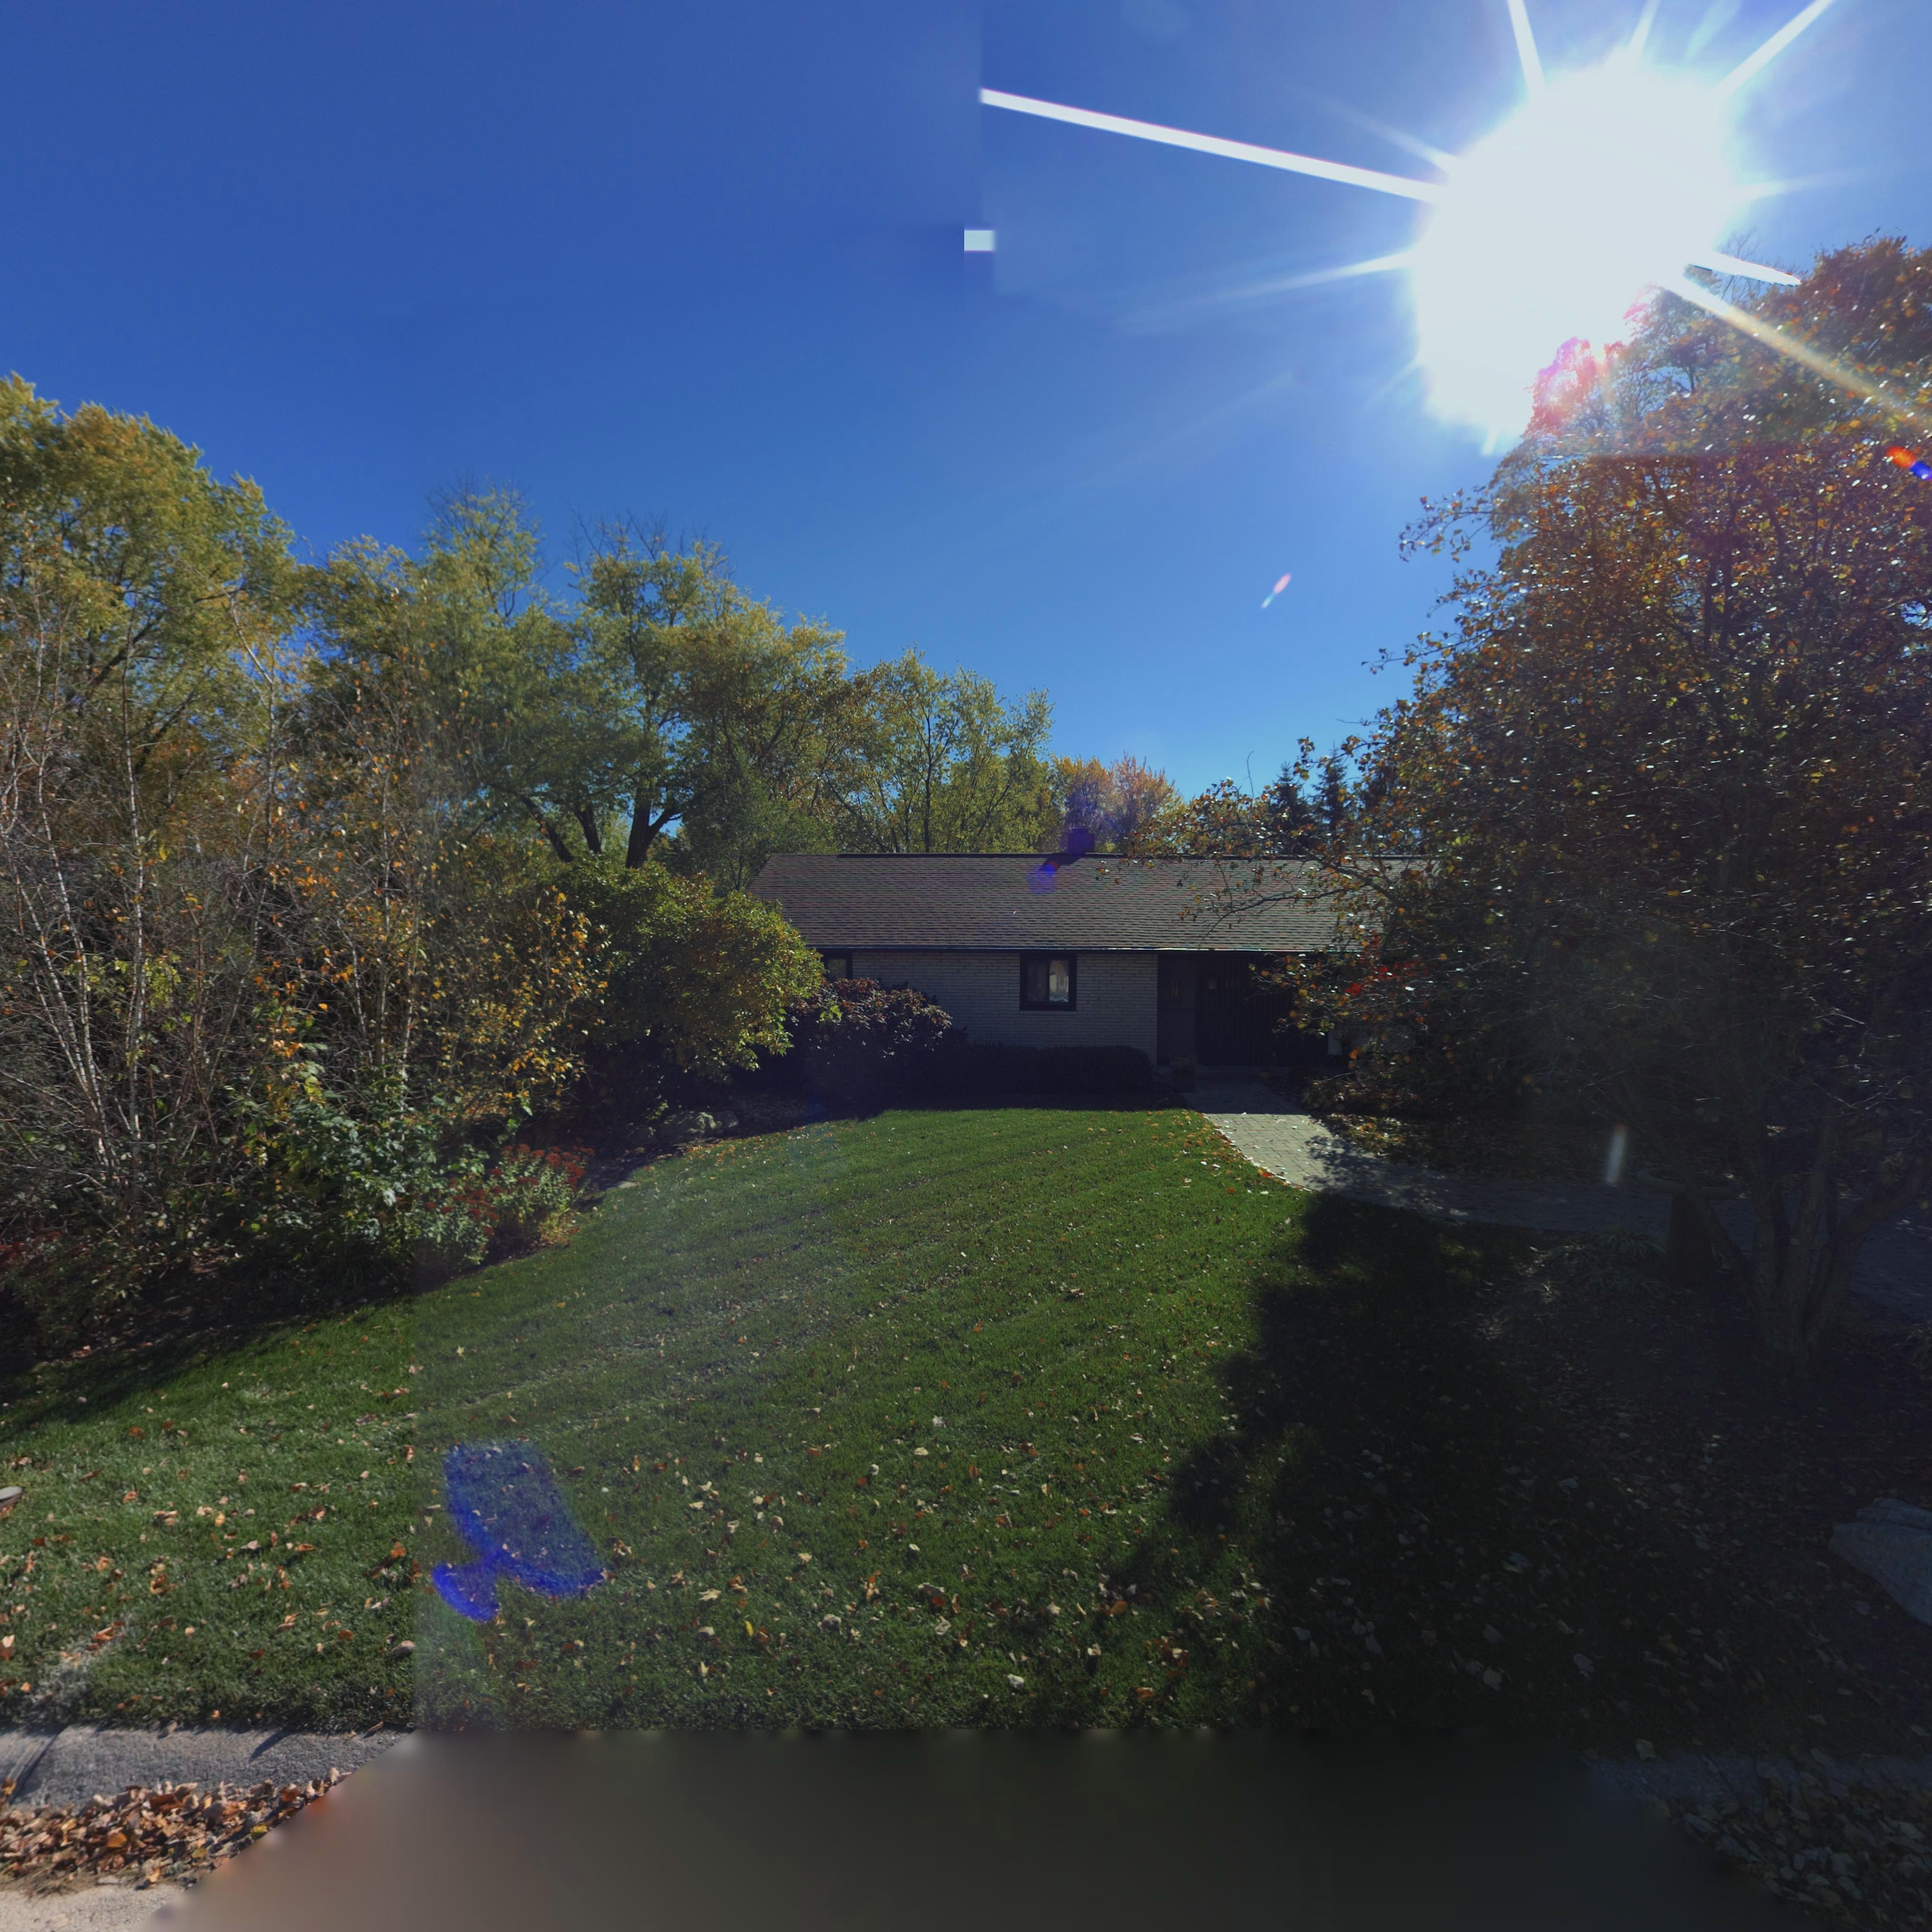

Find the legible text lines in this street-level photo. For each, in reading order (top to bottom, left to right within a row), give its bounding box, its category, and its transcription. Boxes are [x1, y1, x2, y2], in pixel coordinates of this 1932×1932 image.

[1224, 977, 1240, 989] StreetNumber: 486